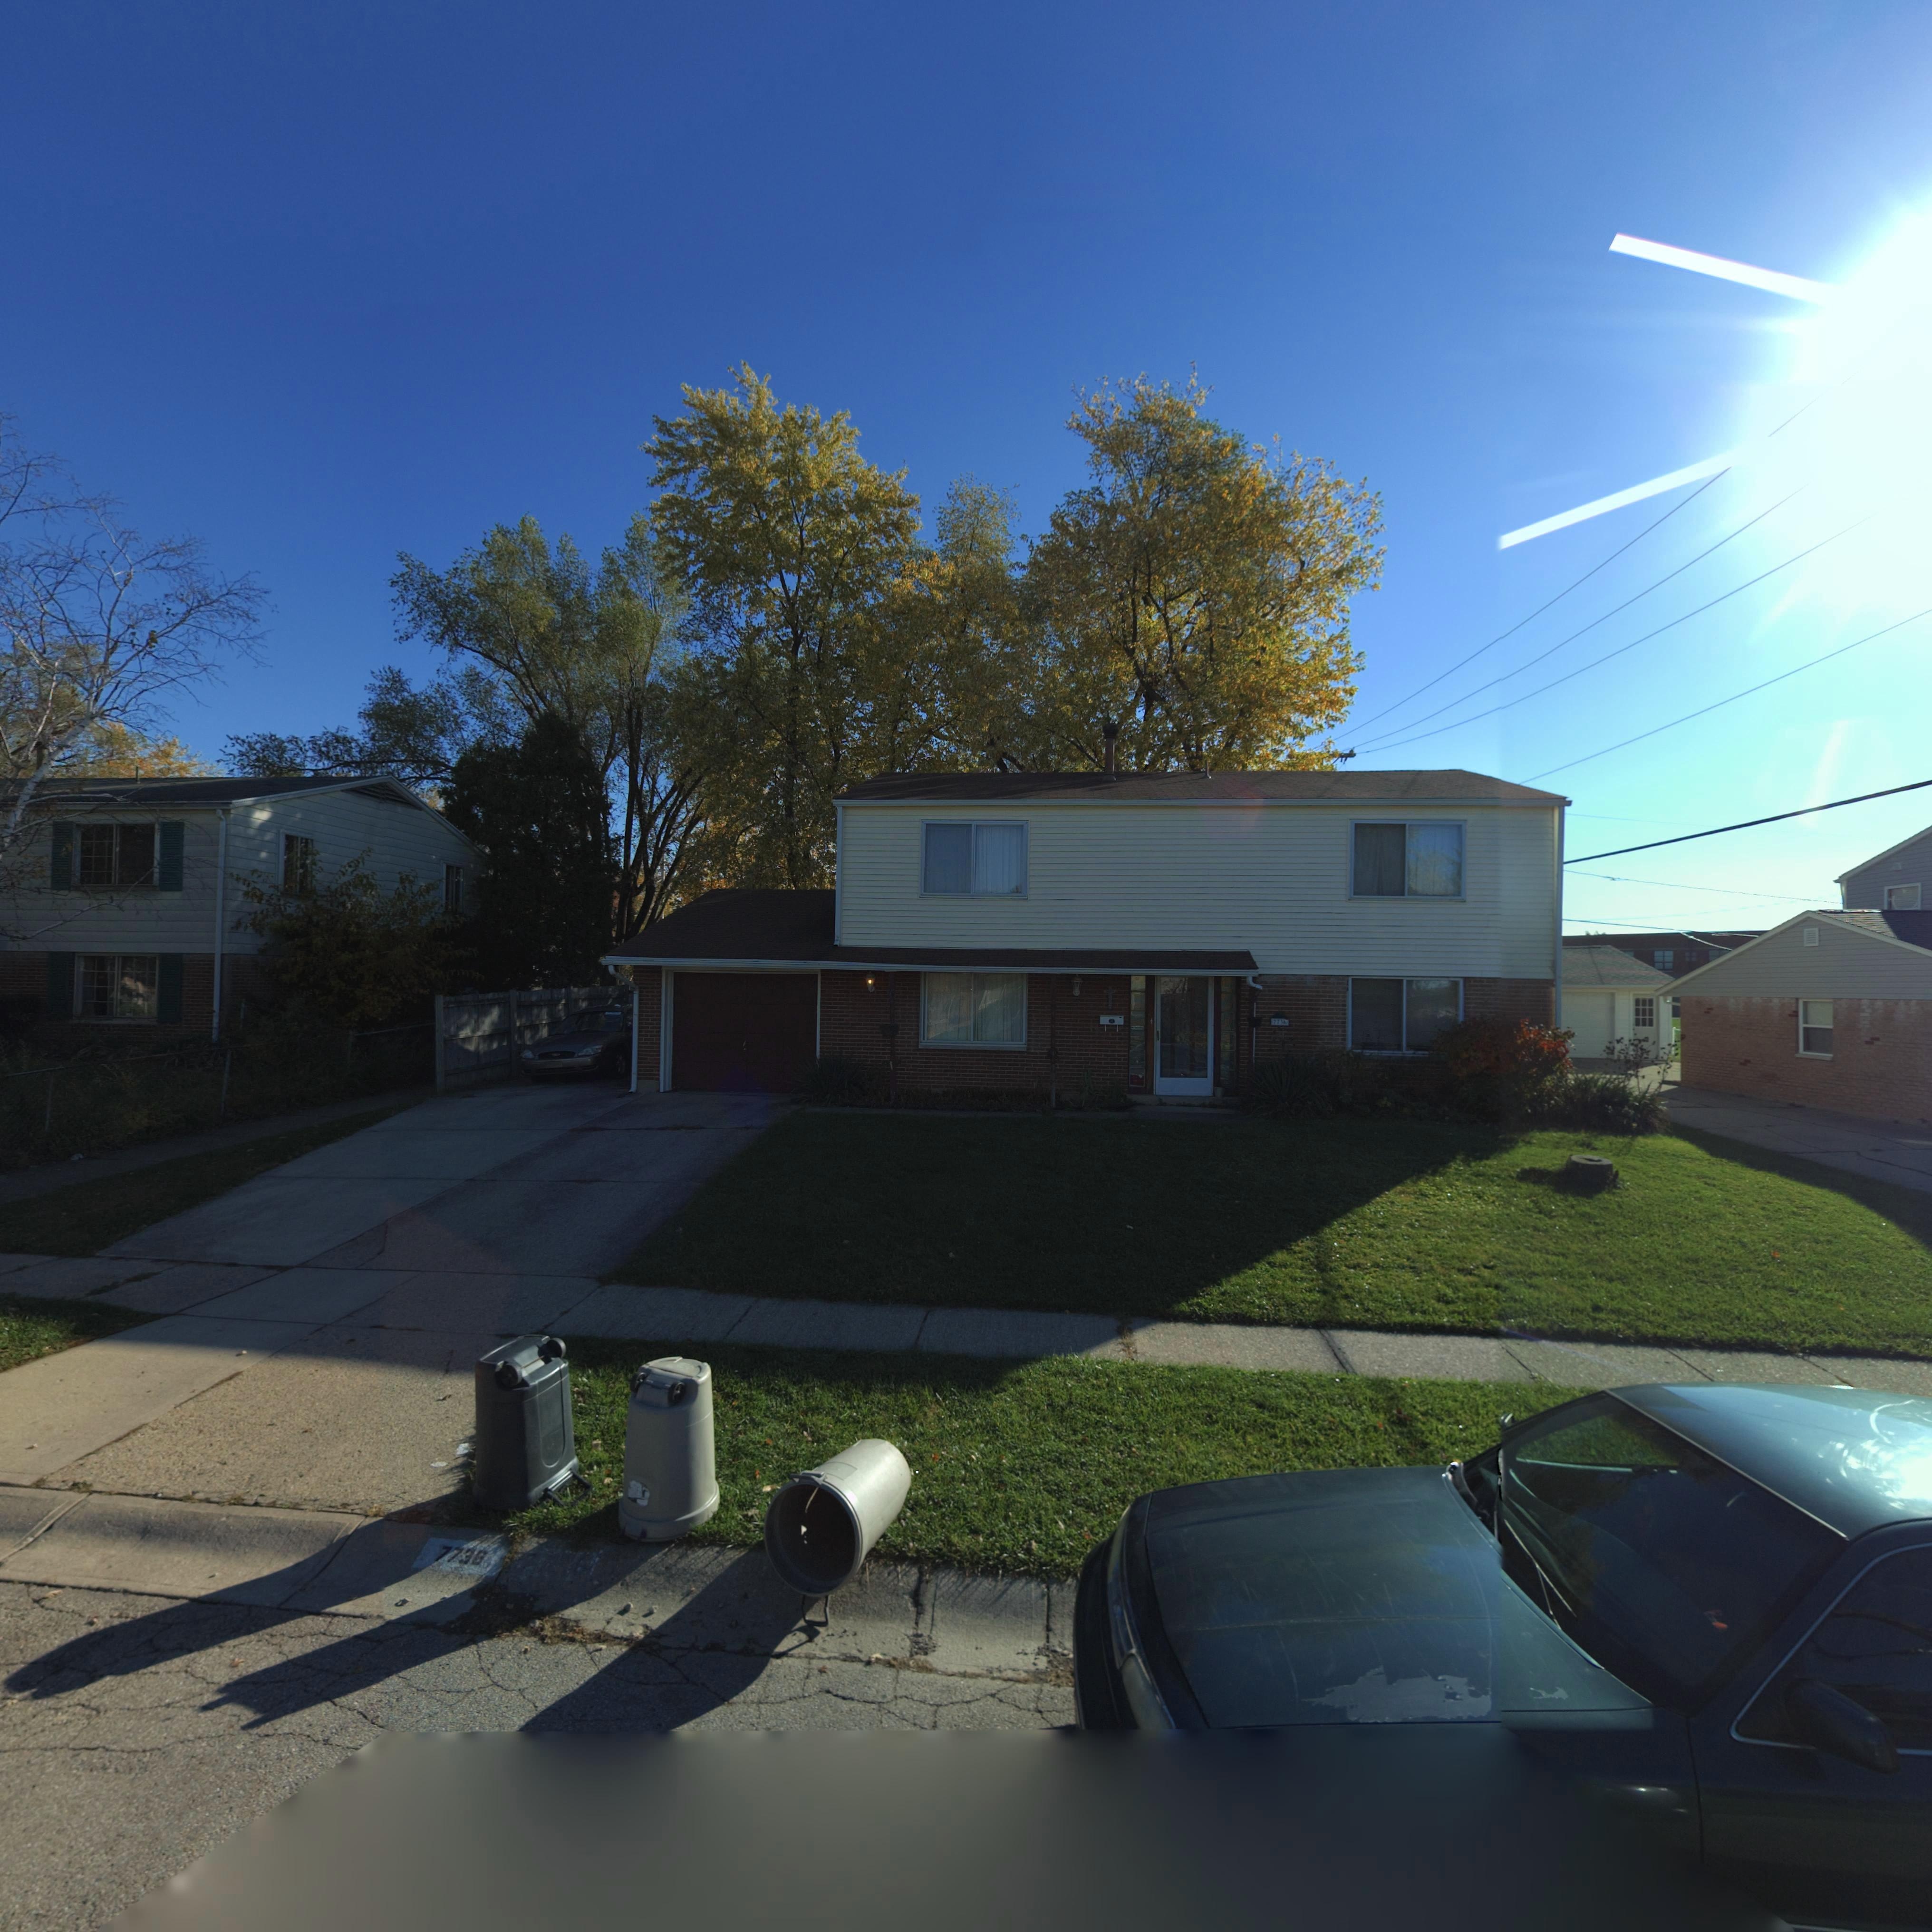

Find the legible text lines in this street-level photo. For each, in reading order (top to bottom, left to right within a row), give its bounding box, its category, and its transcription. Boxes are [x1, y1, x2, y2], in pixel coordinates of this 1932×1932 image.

[1273, 1019, 1287, 1025] StreetNumber: 7736
[432, 1545, 491, 1566] StreetNumber: 7736